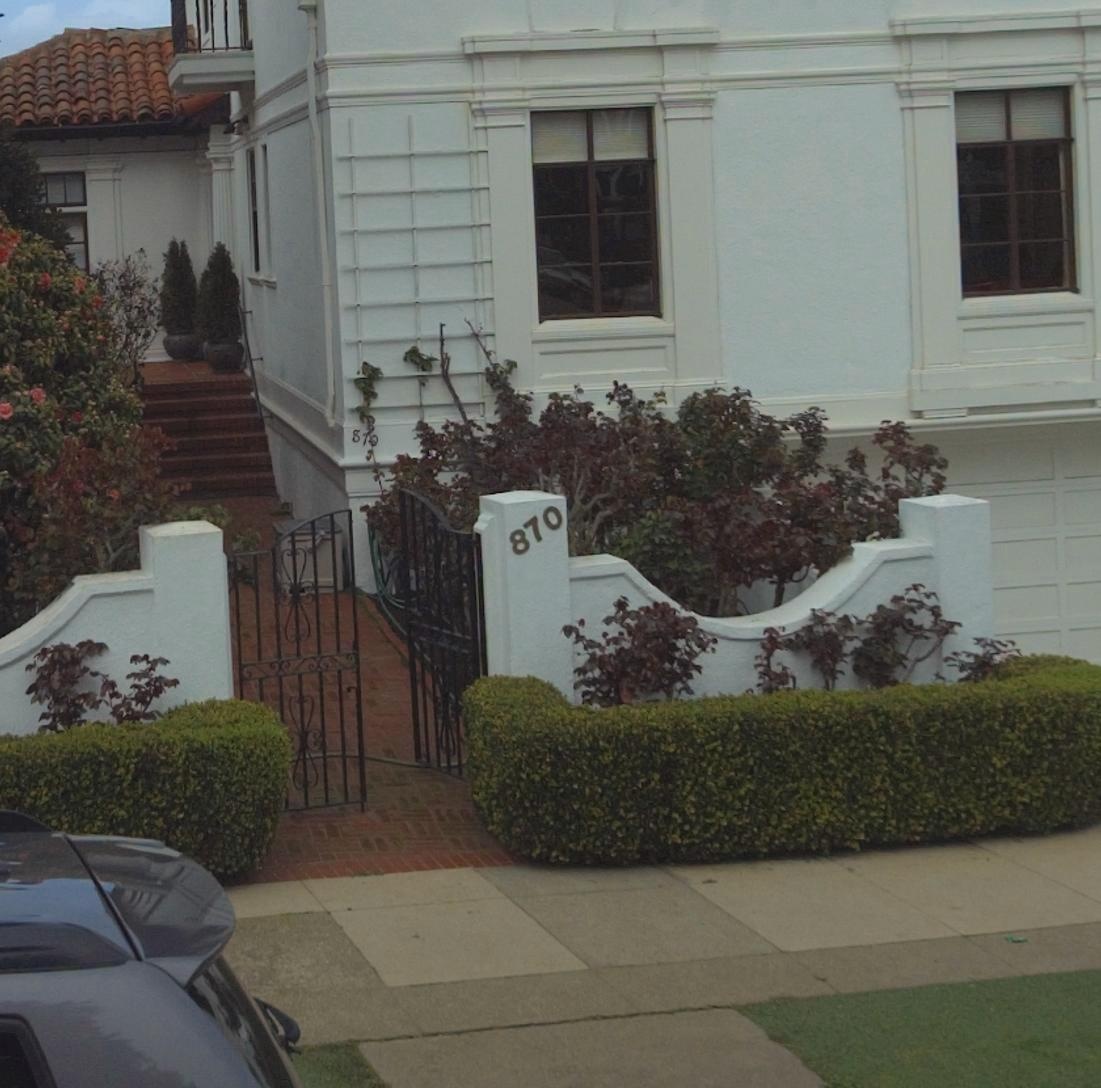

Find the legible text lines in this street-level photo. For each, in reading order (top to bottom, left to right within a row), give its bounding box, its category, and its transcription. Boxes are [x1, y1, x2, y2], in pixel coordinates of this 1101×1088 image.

[506, 501, 568, 561] StreetNumber: 870